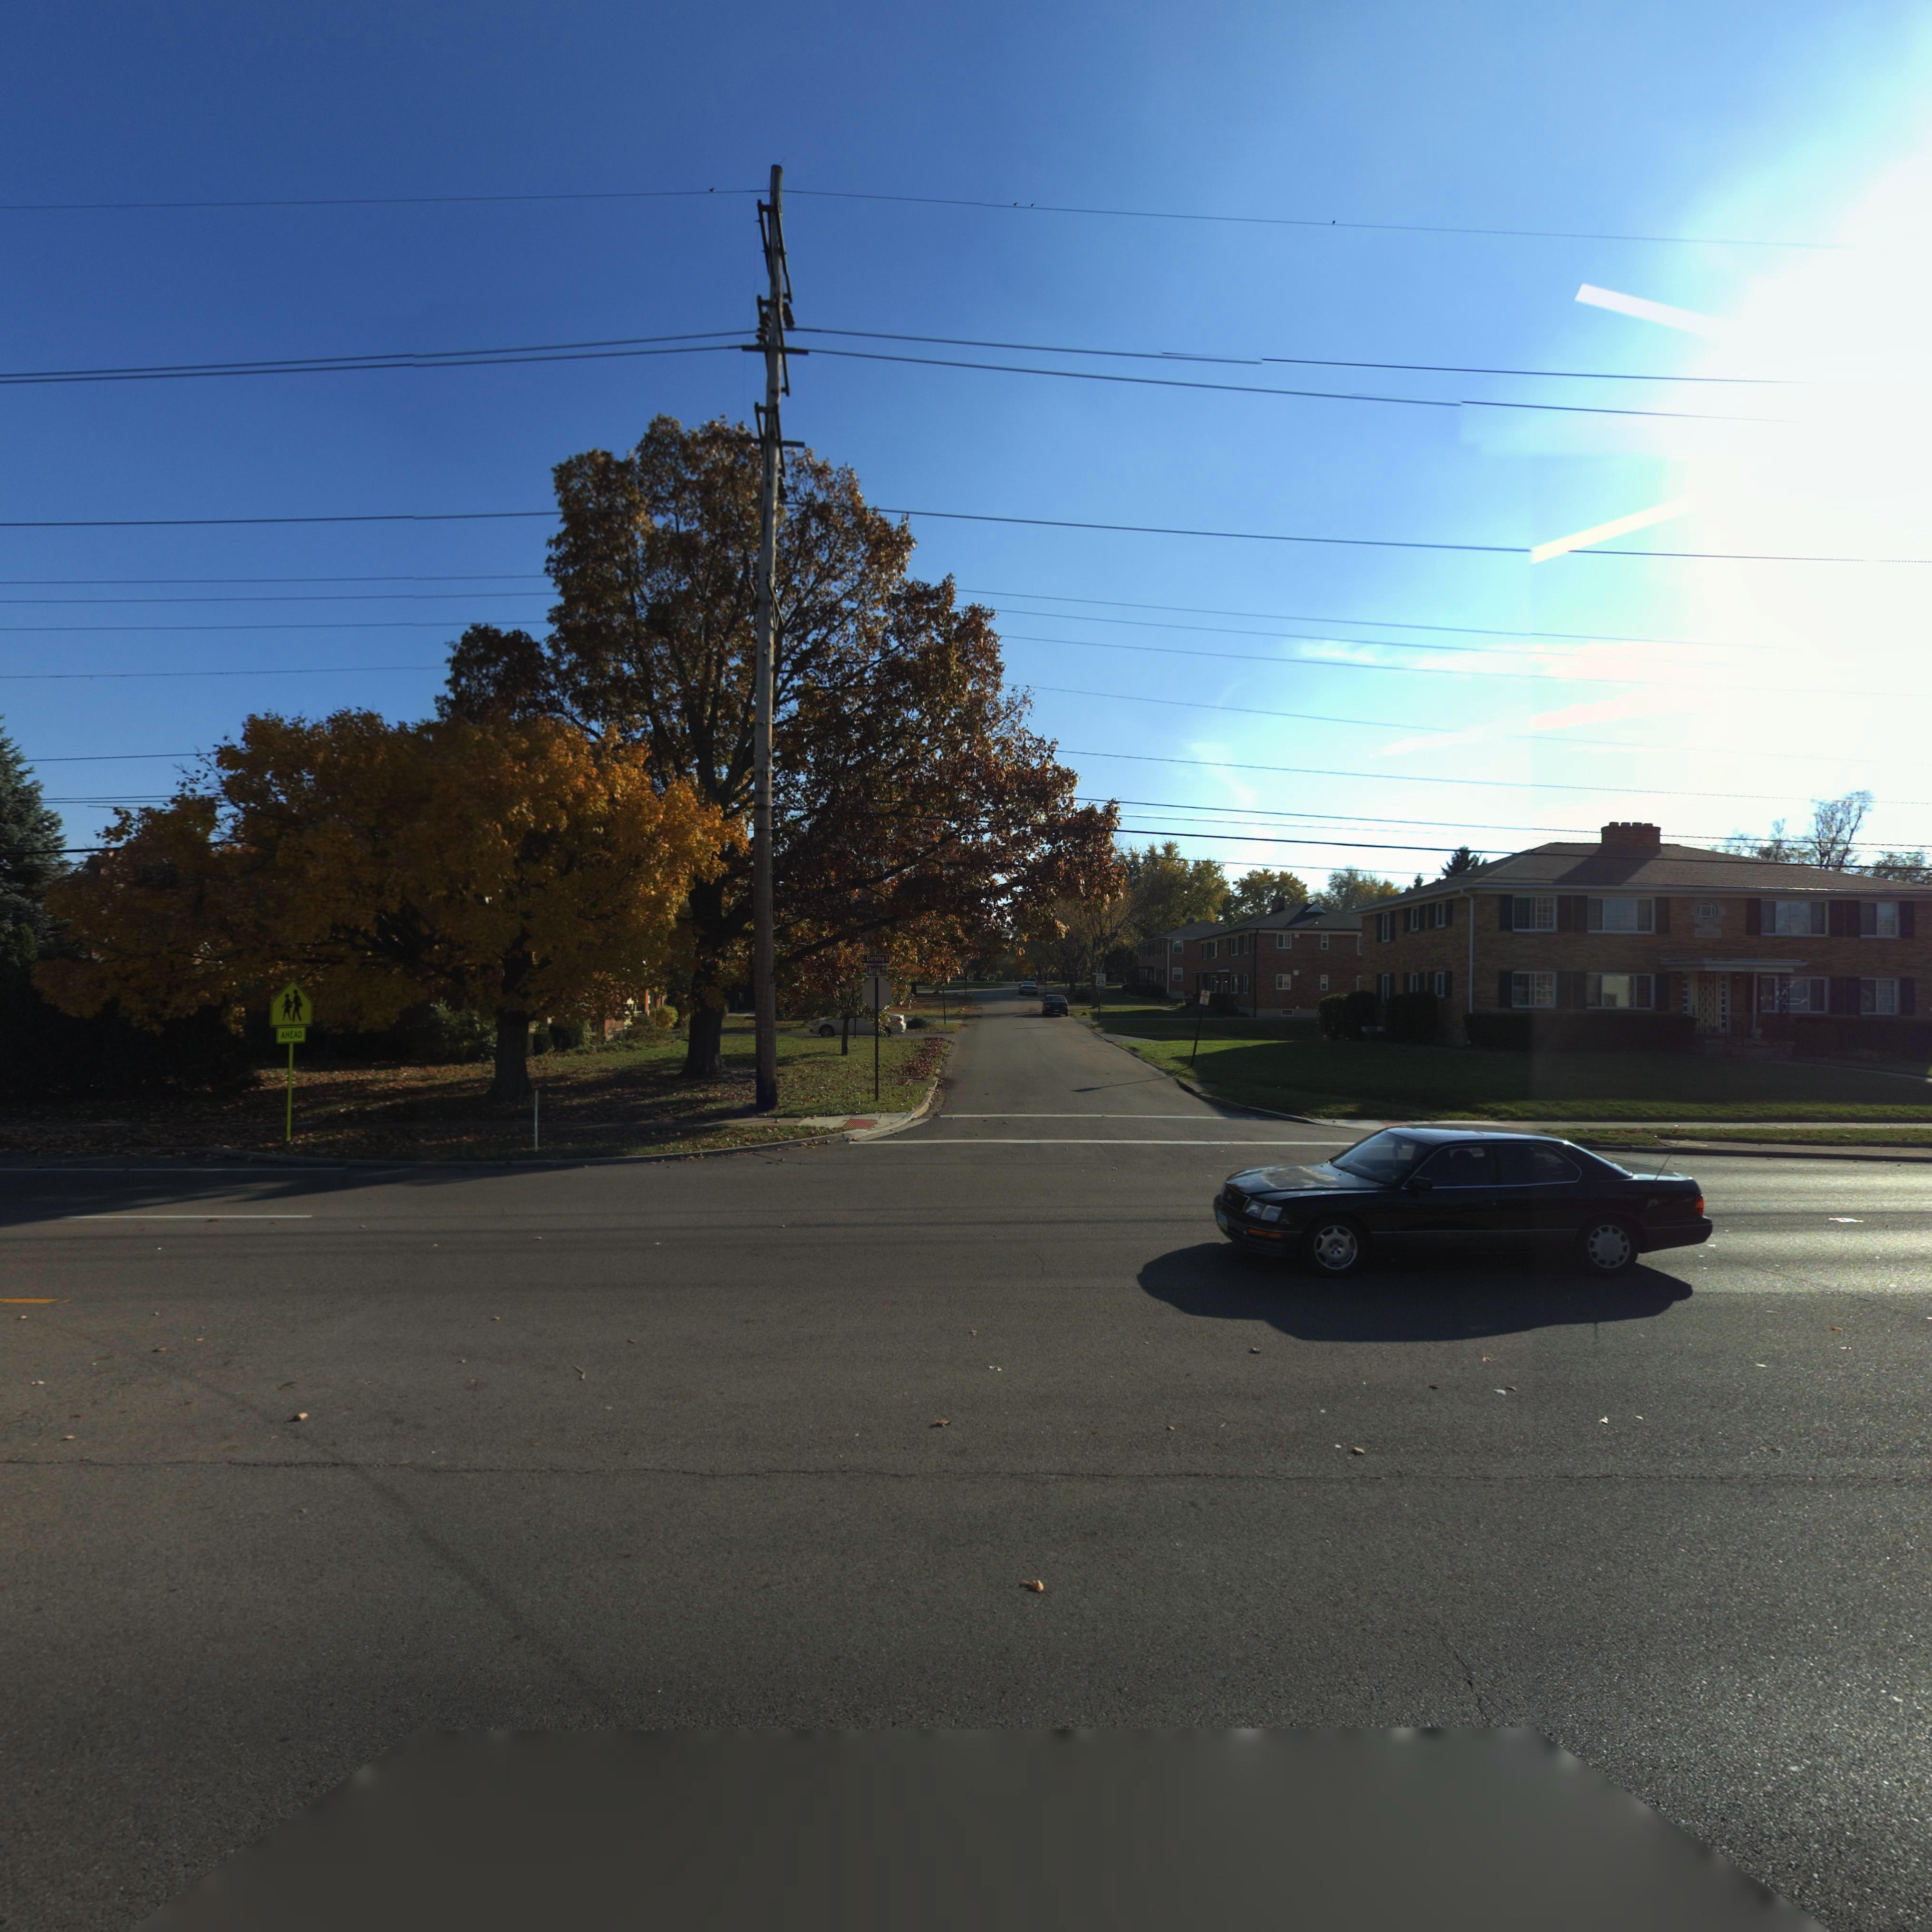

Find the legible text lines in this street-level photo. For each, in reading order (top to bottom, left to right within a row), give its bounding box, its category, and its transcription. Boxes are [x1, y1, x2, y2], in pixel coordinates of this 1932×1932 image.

[861, 955, 885, 964] StreetName: E Dorothy
[867, 966, 881, 976] StreetName: Aerial
[1742, 966, 1756, 972] StreetNumber: 542